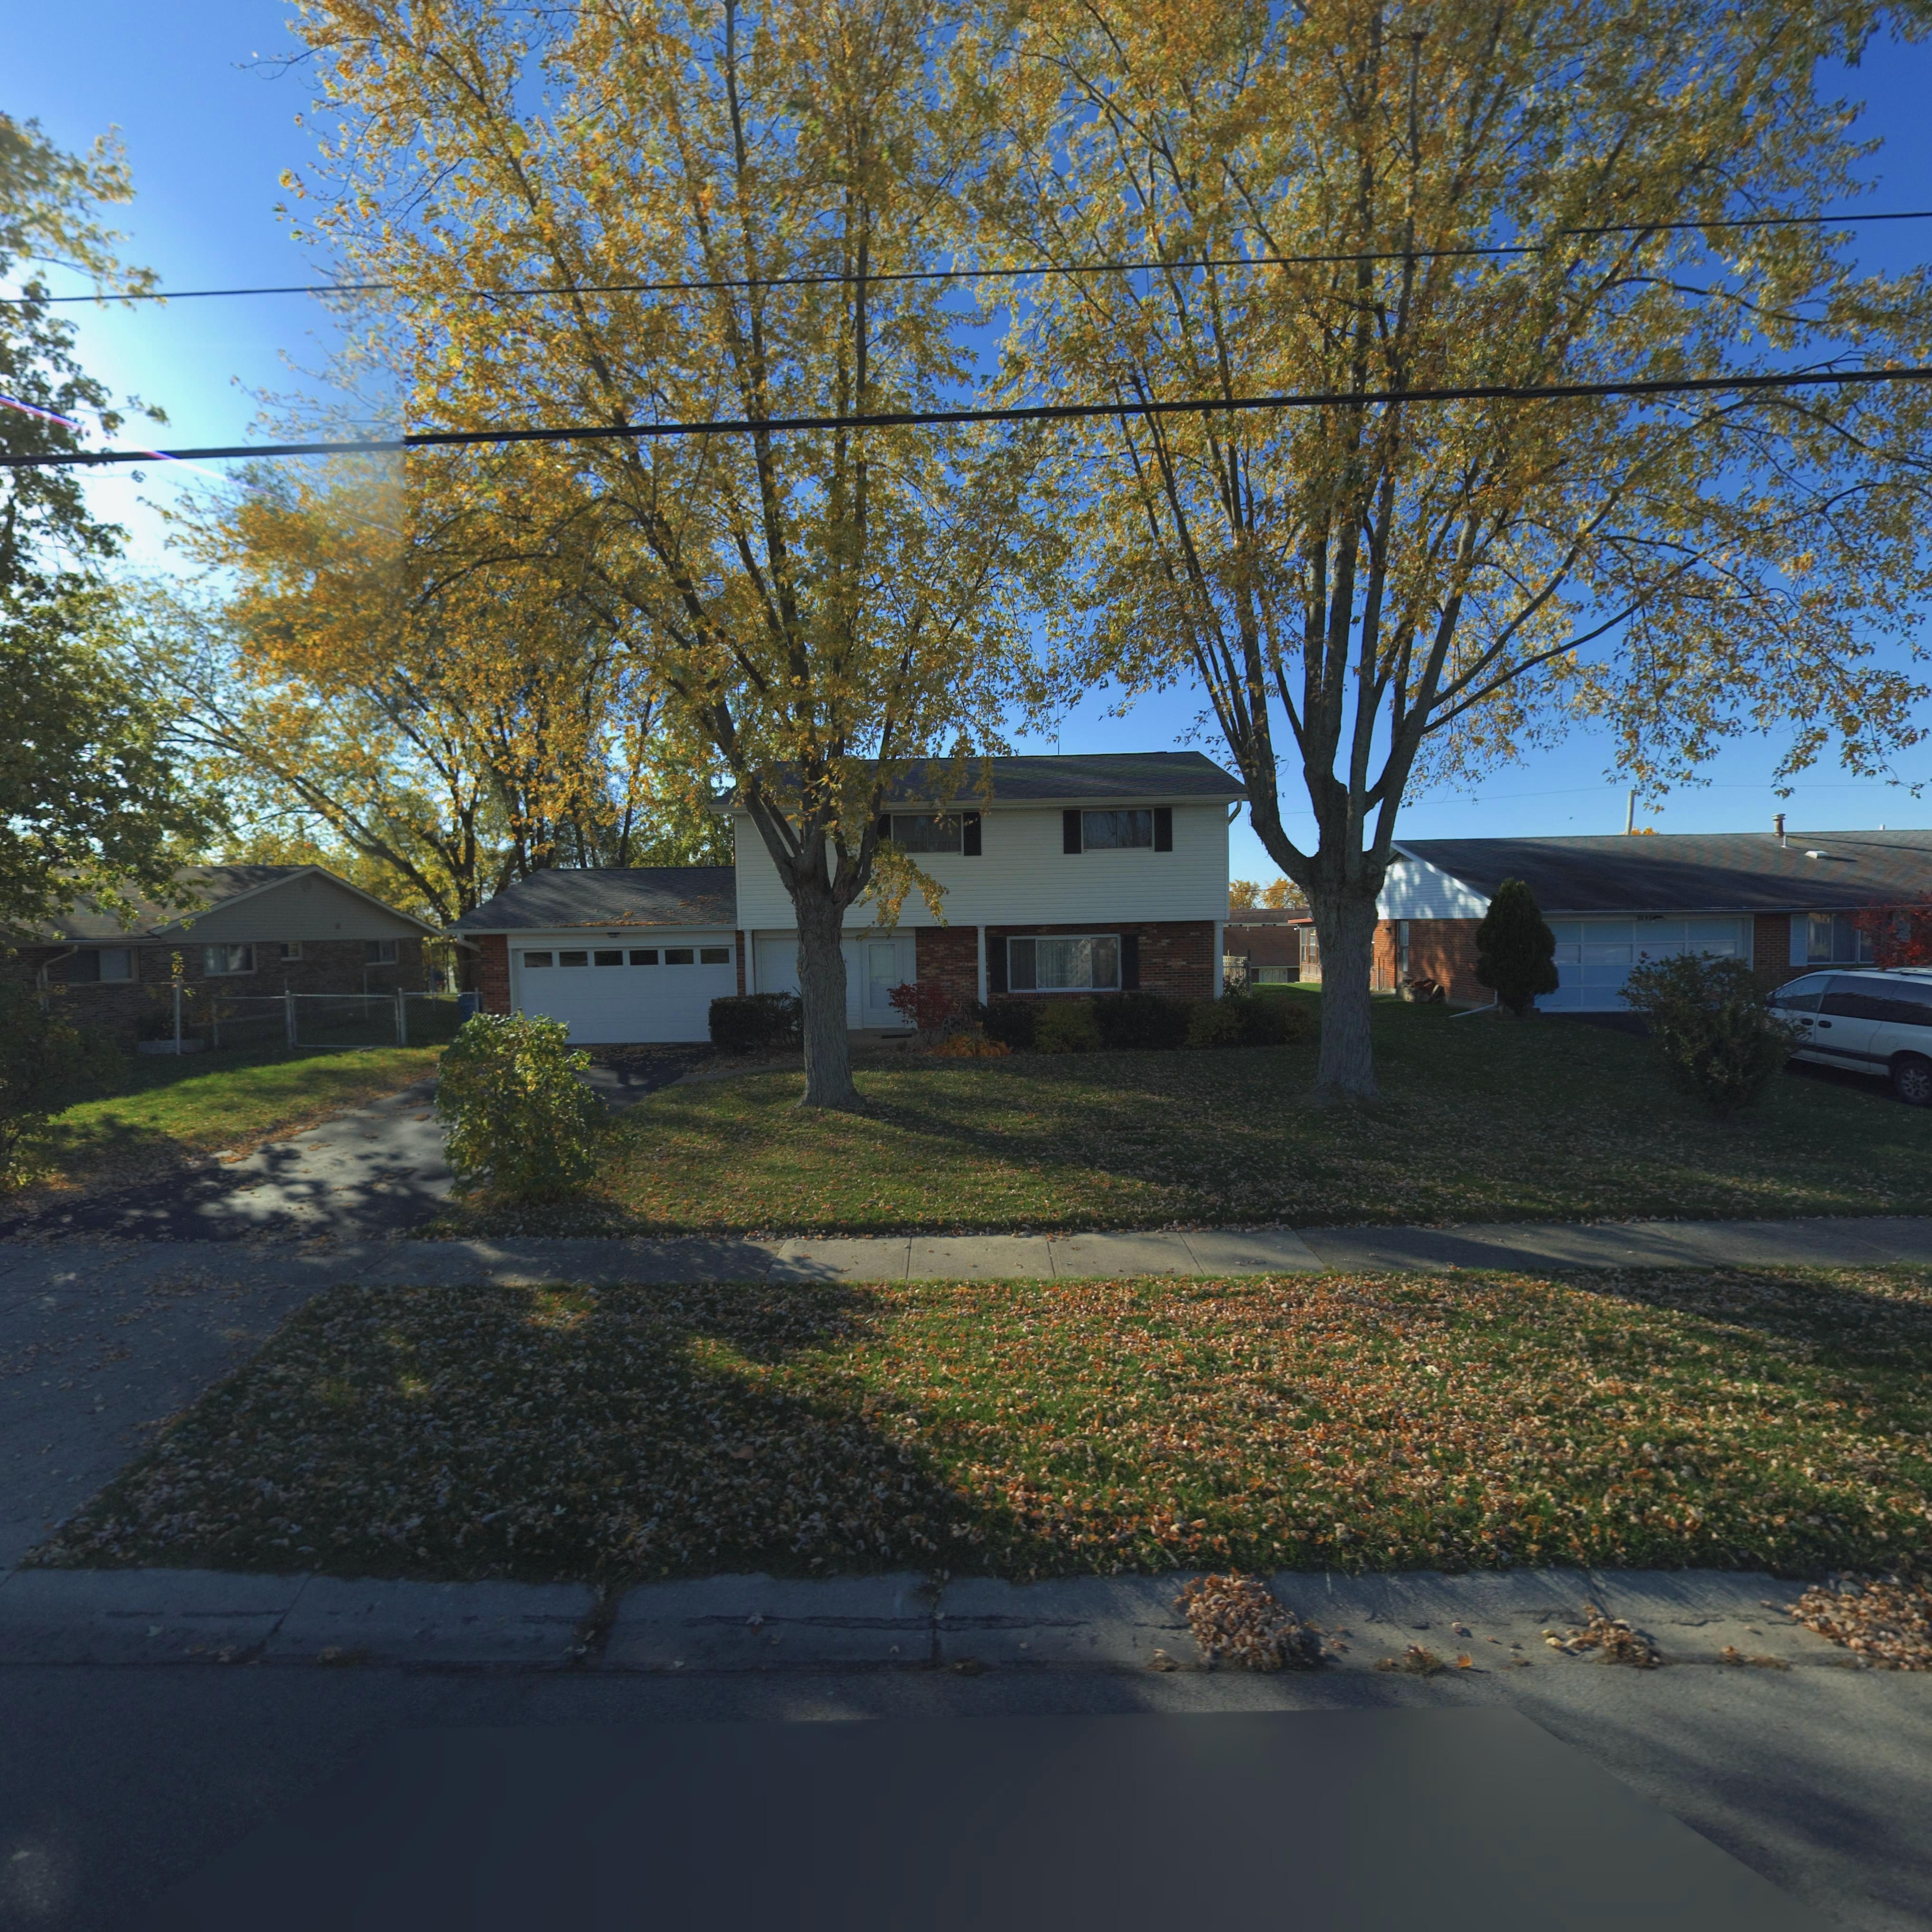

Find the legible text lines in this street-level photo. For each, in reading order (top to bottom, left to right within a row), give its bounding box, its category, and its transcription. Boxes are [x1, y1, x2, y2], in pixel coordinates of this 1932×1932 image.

[1649, 914, 1653, 921] StreetNumber: 2
[844, 958, 848, 963] StreetNumber: 6